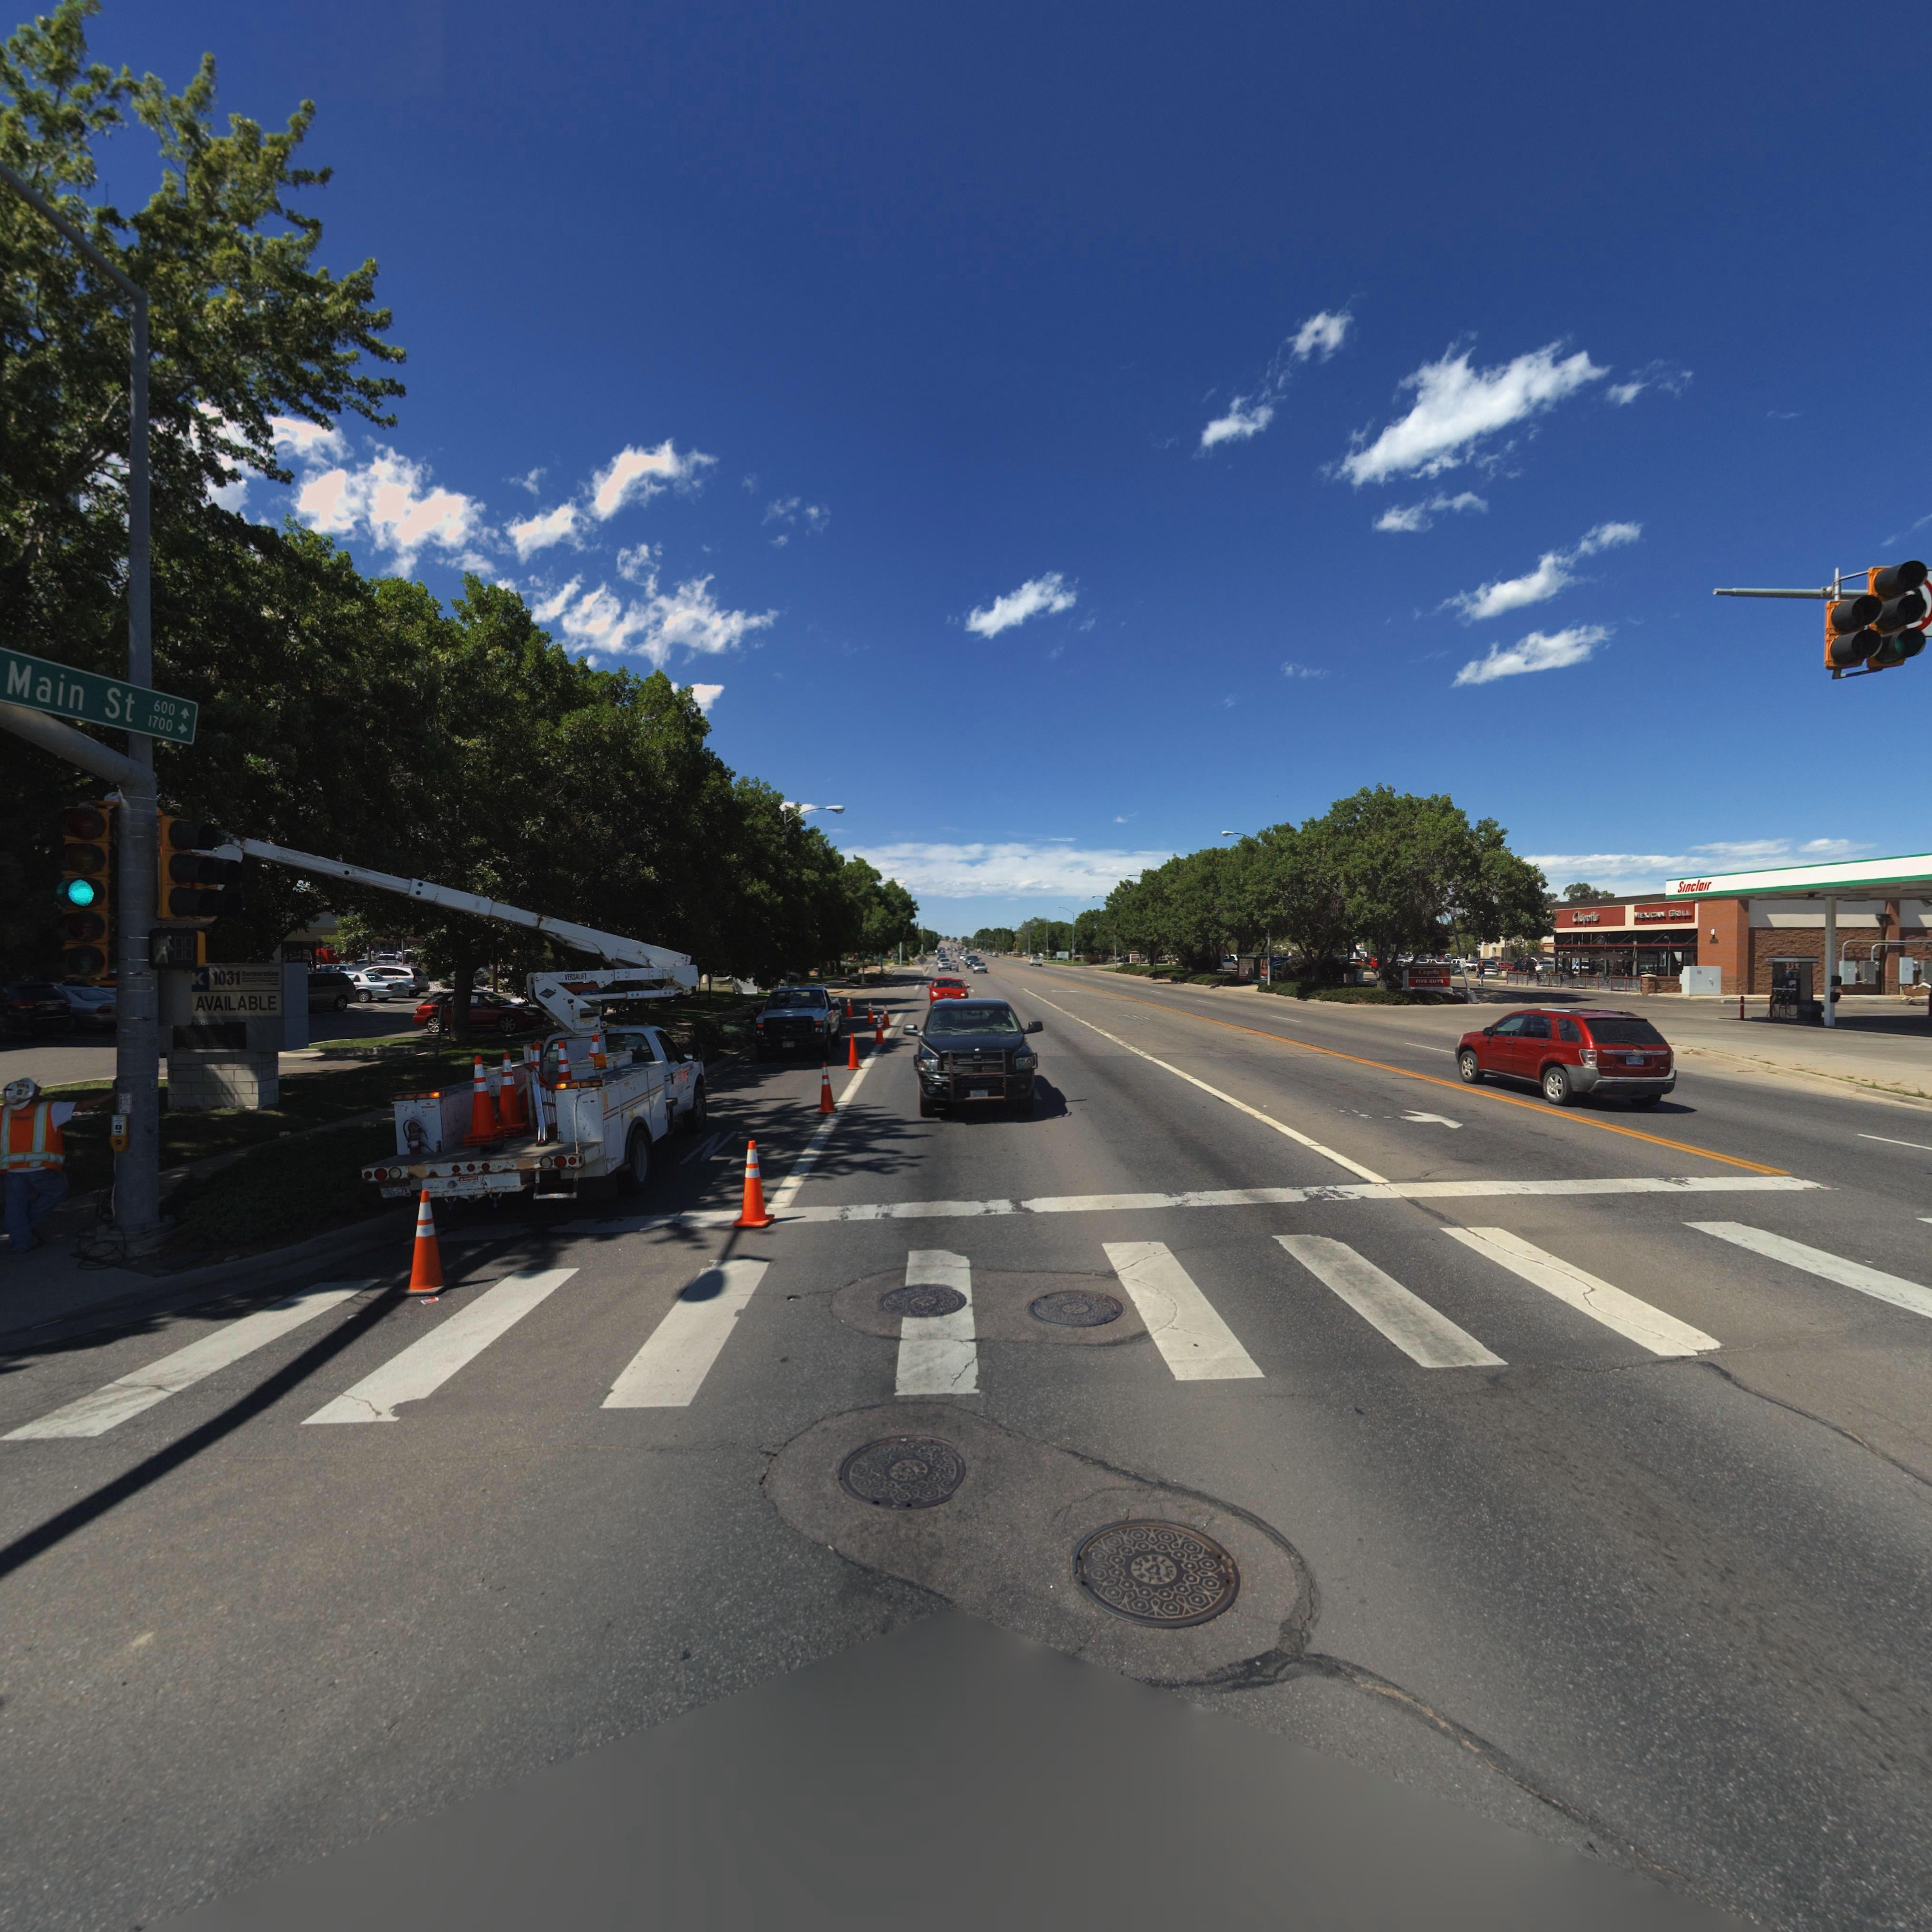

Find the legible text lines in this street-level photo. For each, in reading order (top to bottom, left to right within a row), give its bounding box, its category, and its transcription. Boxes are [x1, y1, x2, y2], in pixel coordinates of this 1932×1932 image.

[4, 658, 136, 723] StreetName: Main St
[153, 698, 175, 716] StreetNumberRange: 600
[147, 714, 189, 734] StreetNumberRange: 1700 ->
[1677, 879, 1712, 893] BusinessName: Sinclair
[1571, 911, 1600, 924] BusinessName: Chipotle
[1633, 909, 1691, 918] BusinessName: MEXICAN GRILL
[190, 972, 205, 985] BusinessName: K
[211, 970, 240, 985] BusinessName: 1031
[242, 970, 279, 976] BusinessName: Corporation
[1418, 968, 1439, 976] BusinessName: Chipotle
[1415, 979, 1443, 983] BusinessName: FIVE GUYS